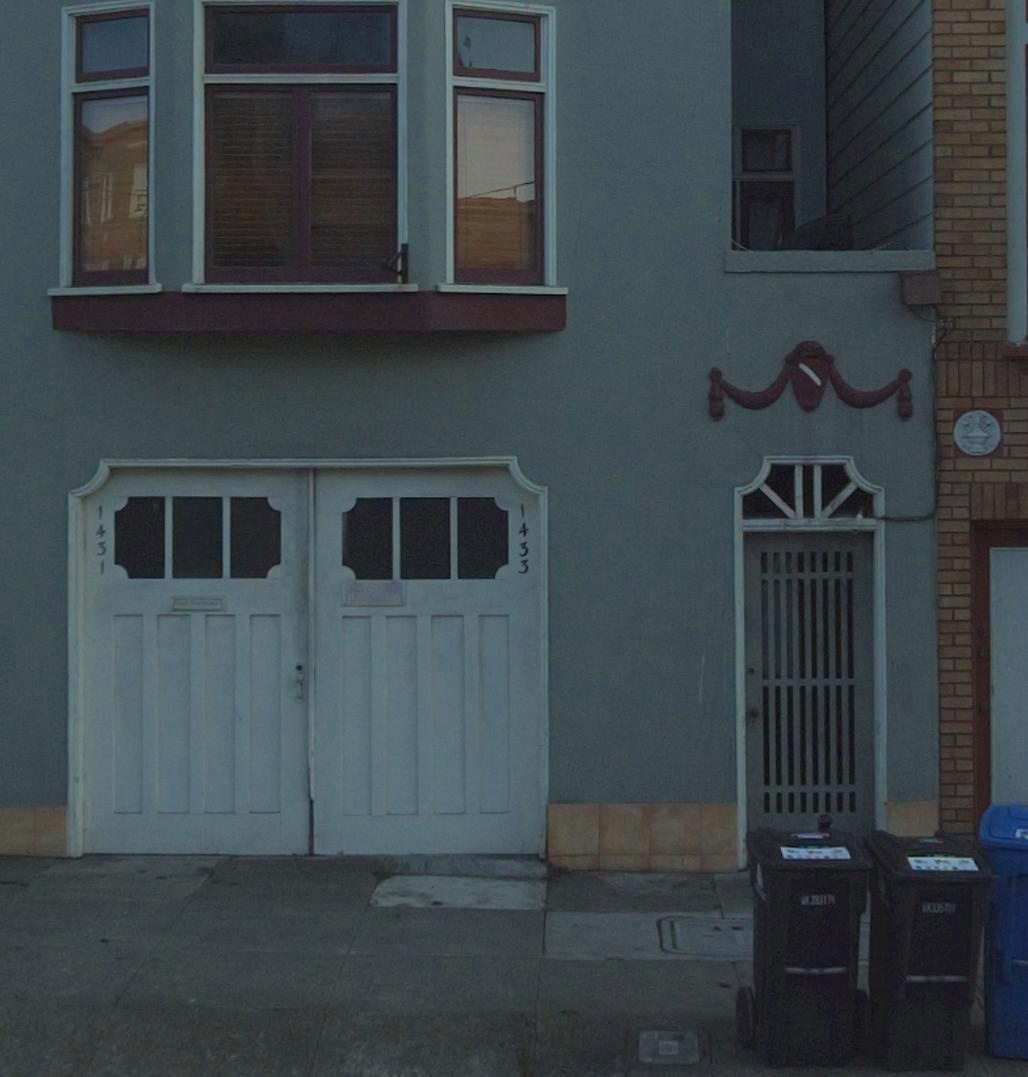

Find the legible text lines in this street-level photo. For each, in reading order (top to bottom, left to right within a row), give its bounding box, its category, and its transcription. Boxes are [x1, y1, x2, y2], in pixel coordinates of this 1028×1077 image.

[92, 502, 110, 579] StreetNumber: 1431
[514, 500, 532, 577] StreetNumber: 1433